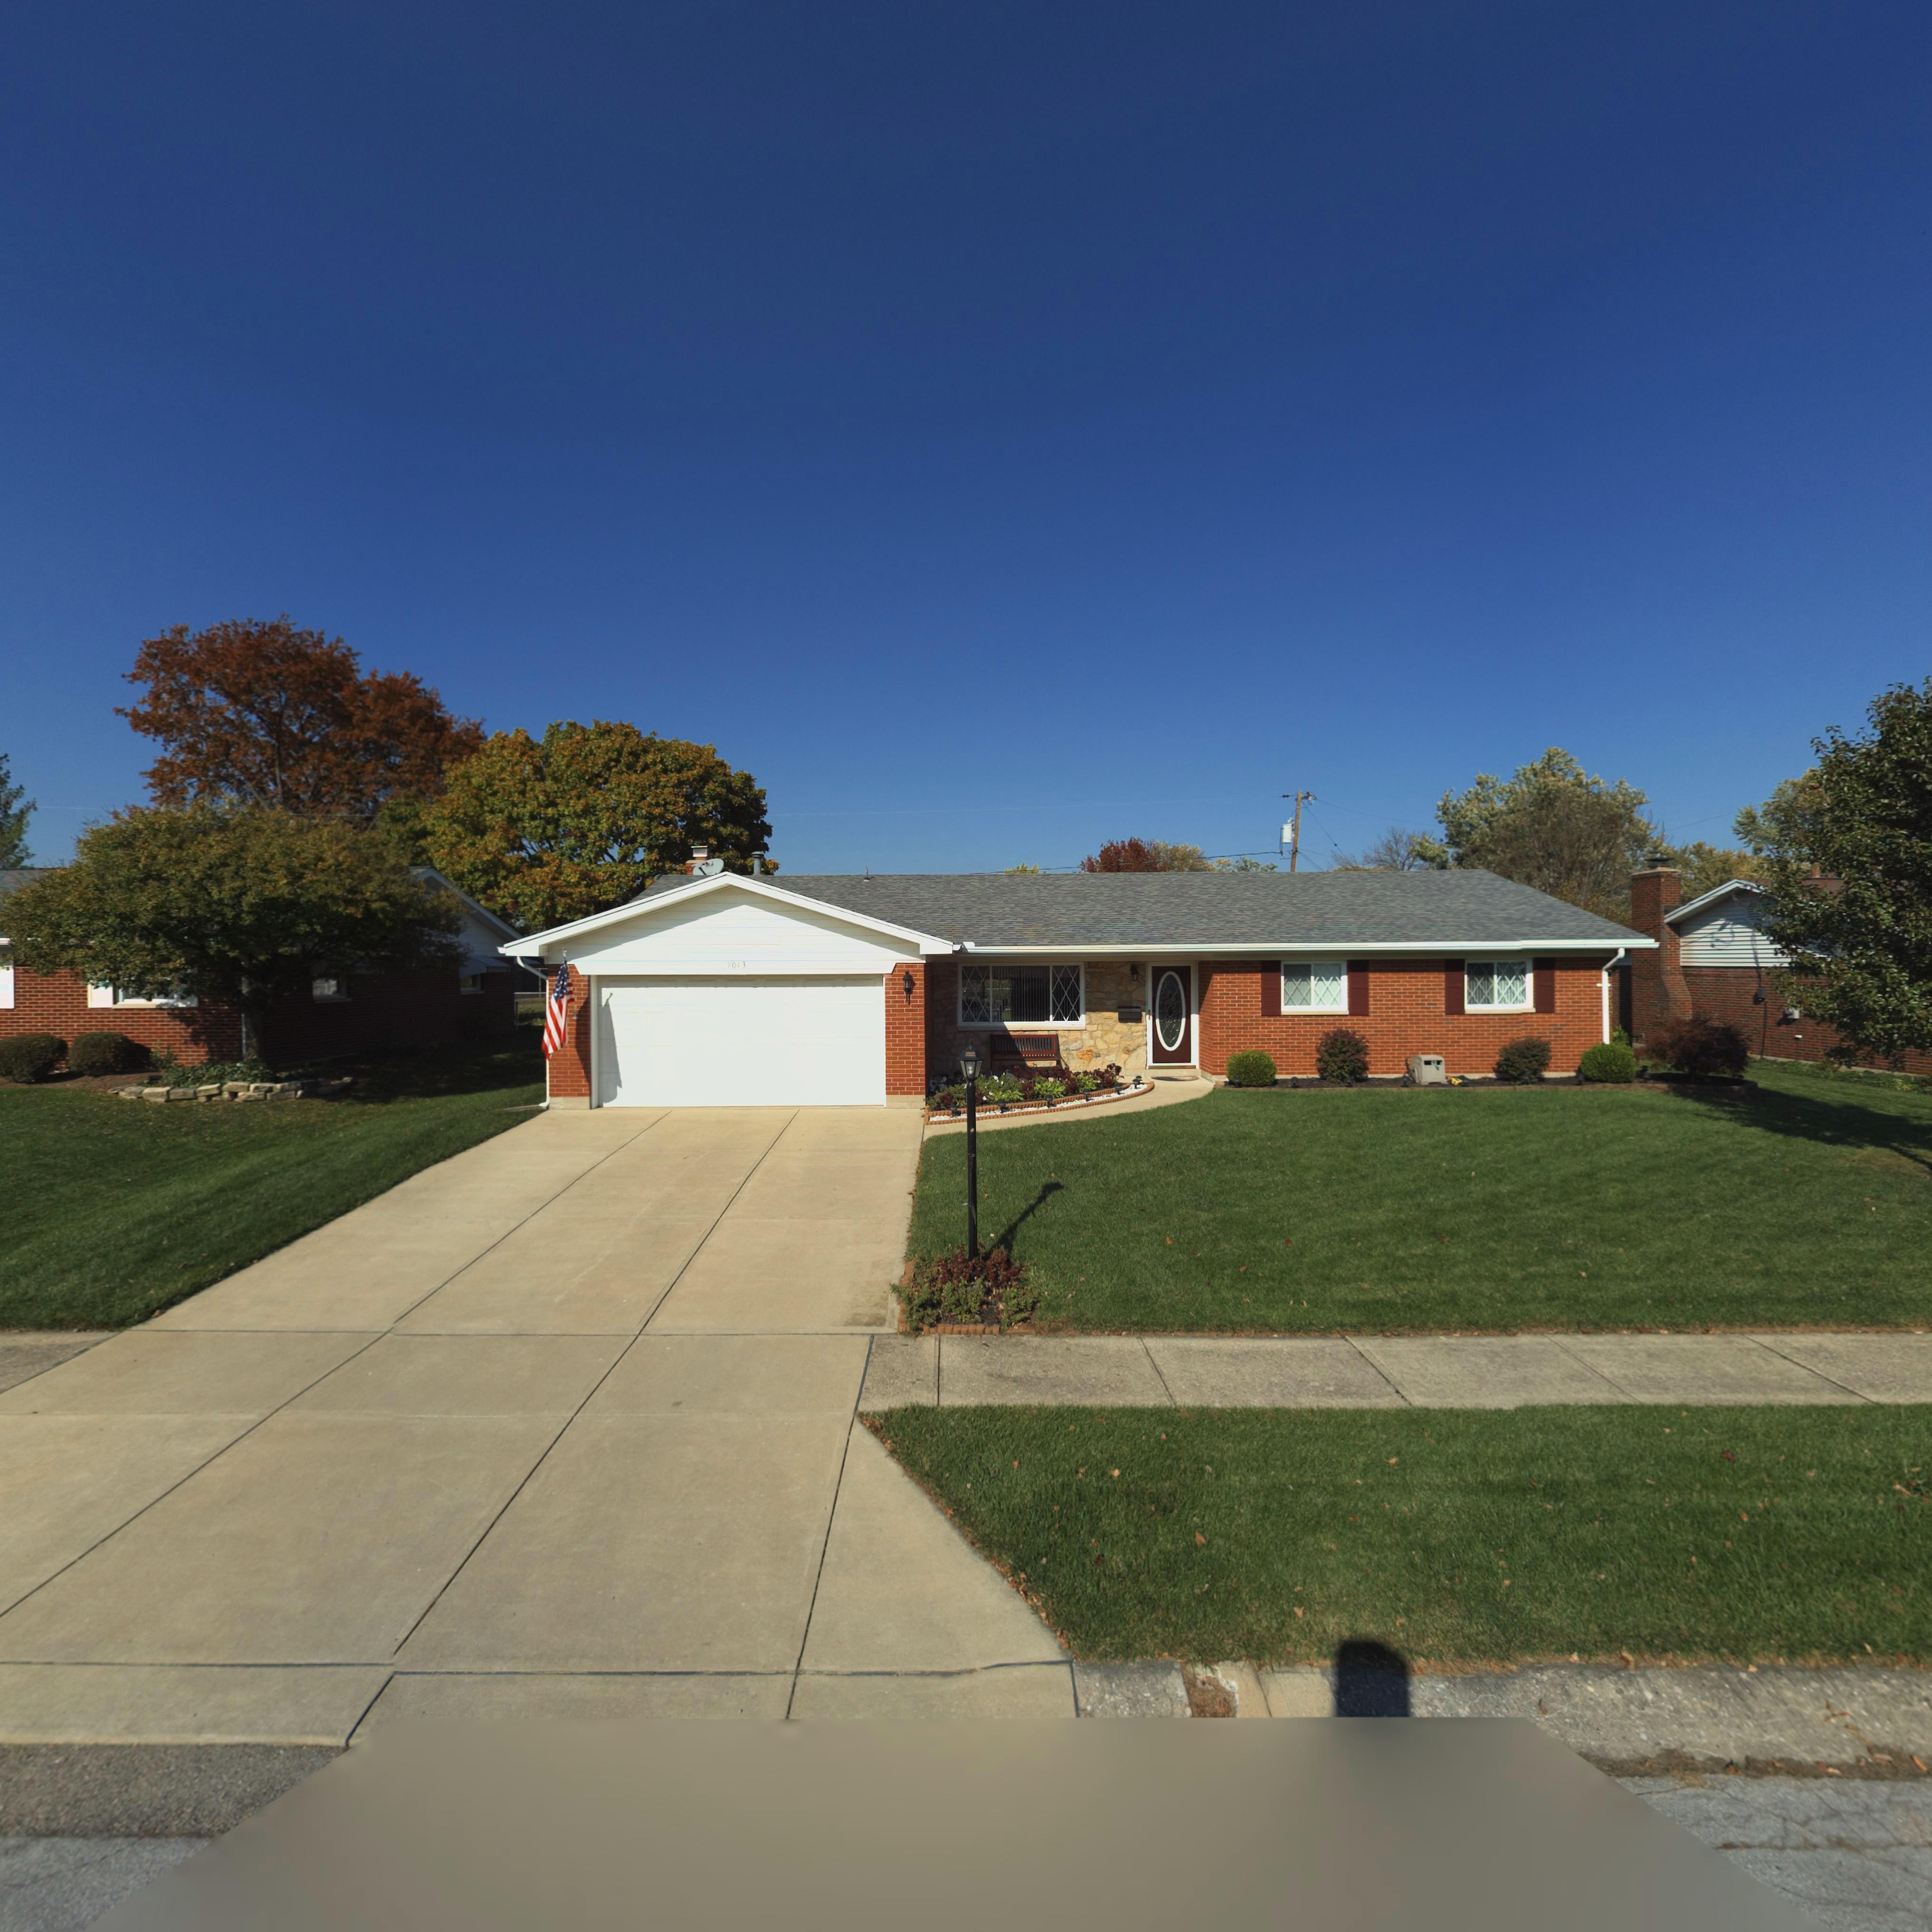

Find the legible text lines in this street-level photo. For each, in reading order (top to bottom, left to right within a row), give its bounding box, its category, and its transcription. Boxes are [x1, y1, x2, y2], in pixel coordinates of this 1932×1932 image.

[727, 961, 746, 969] StreetNumber: 1013